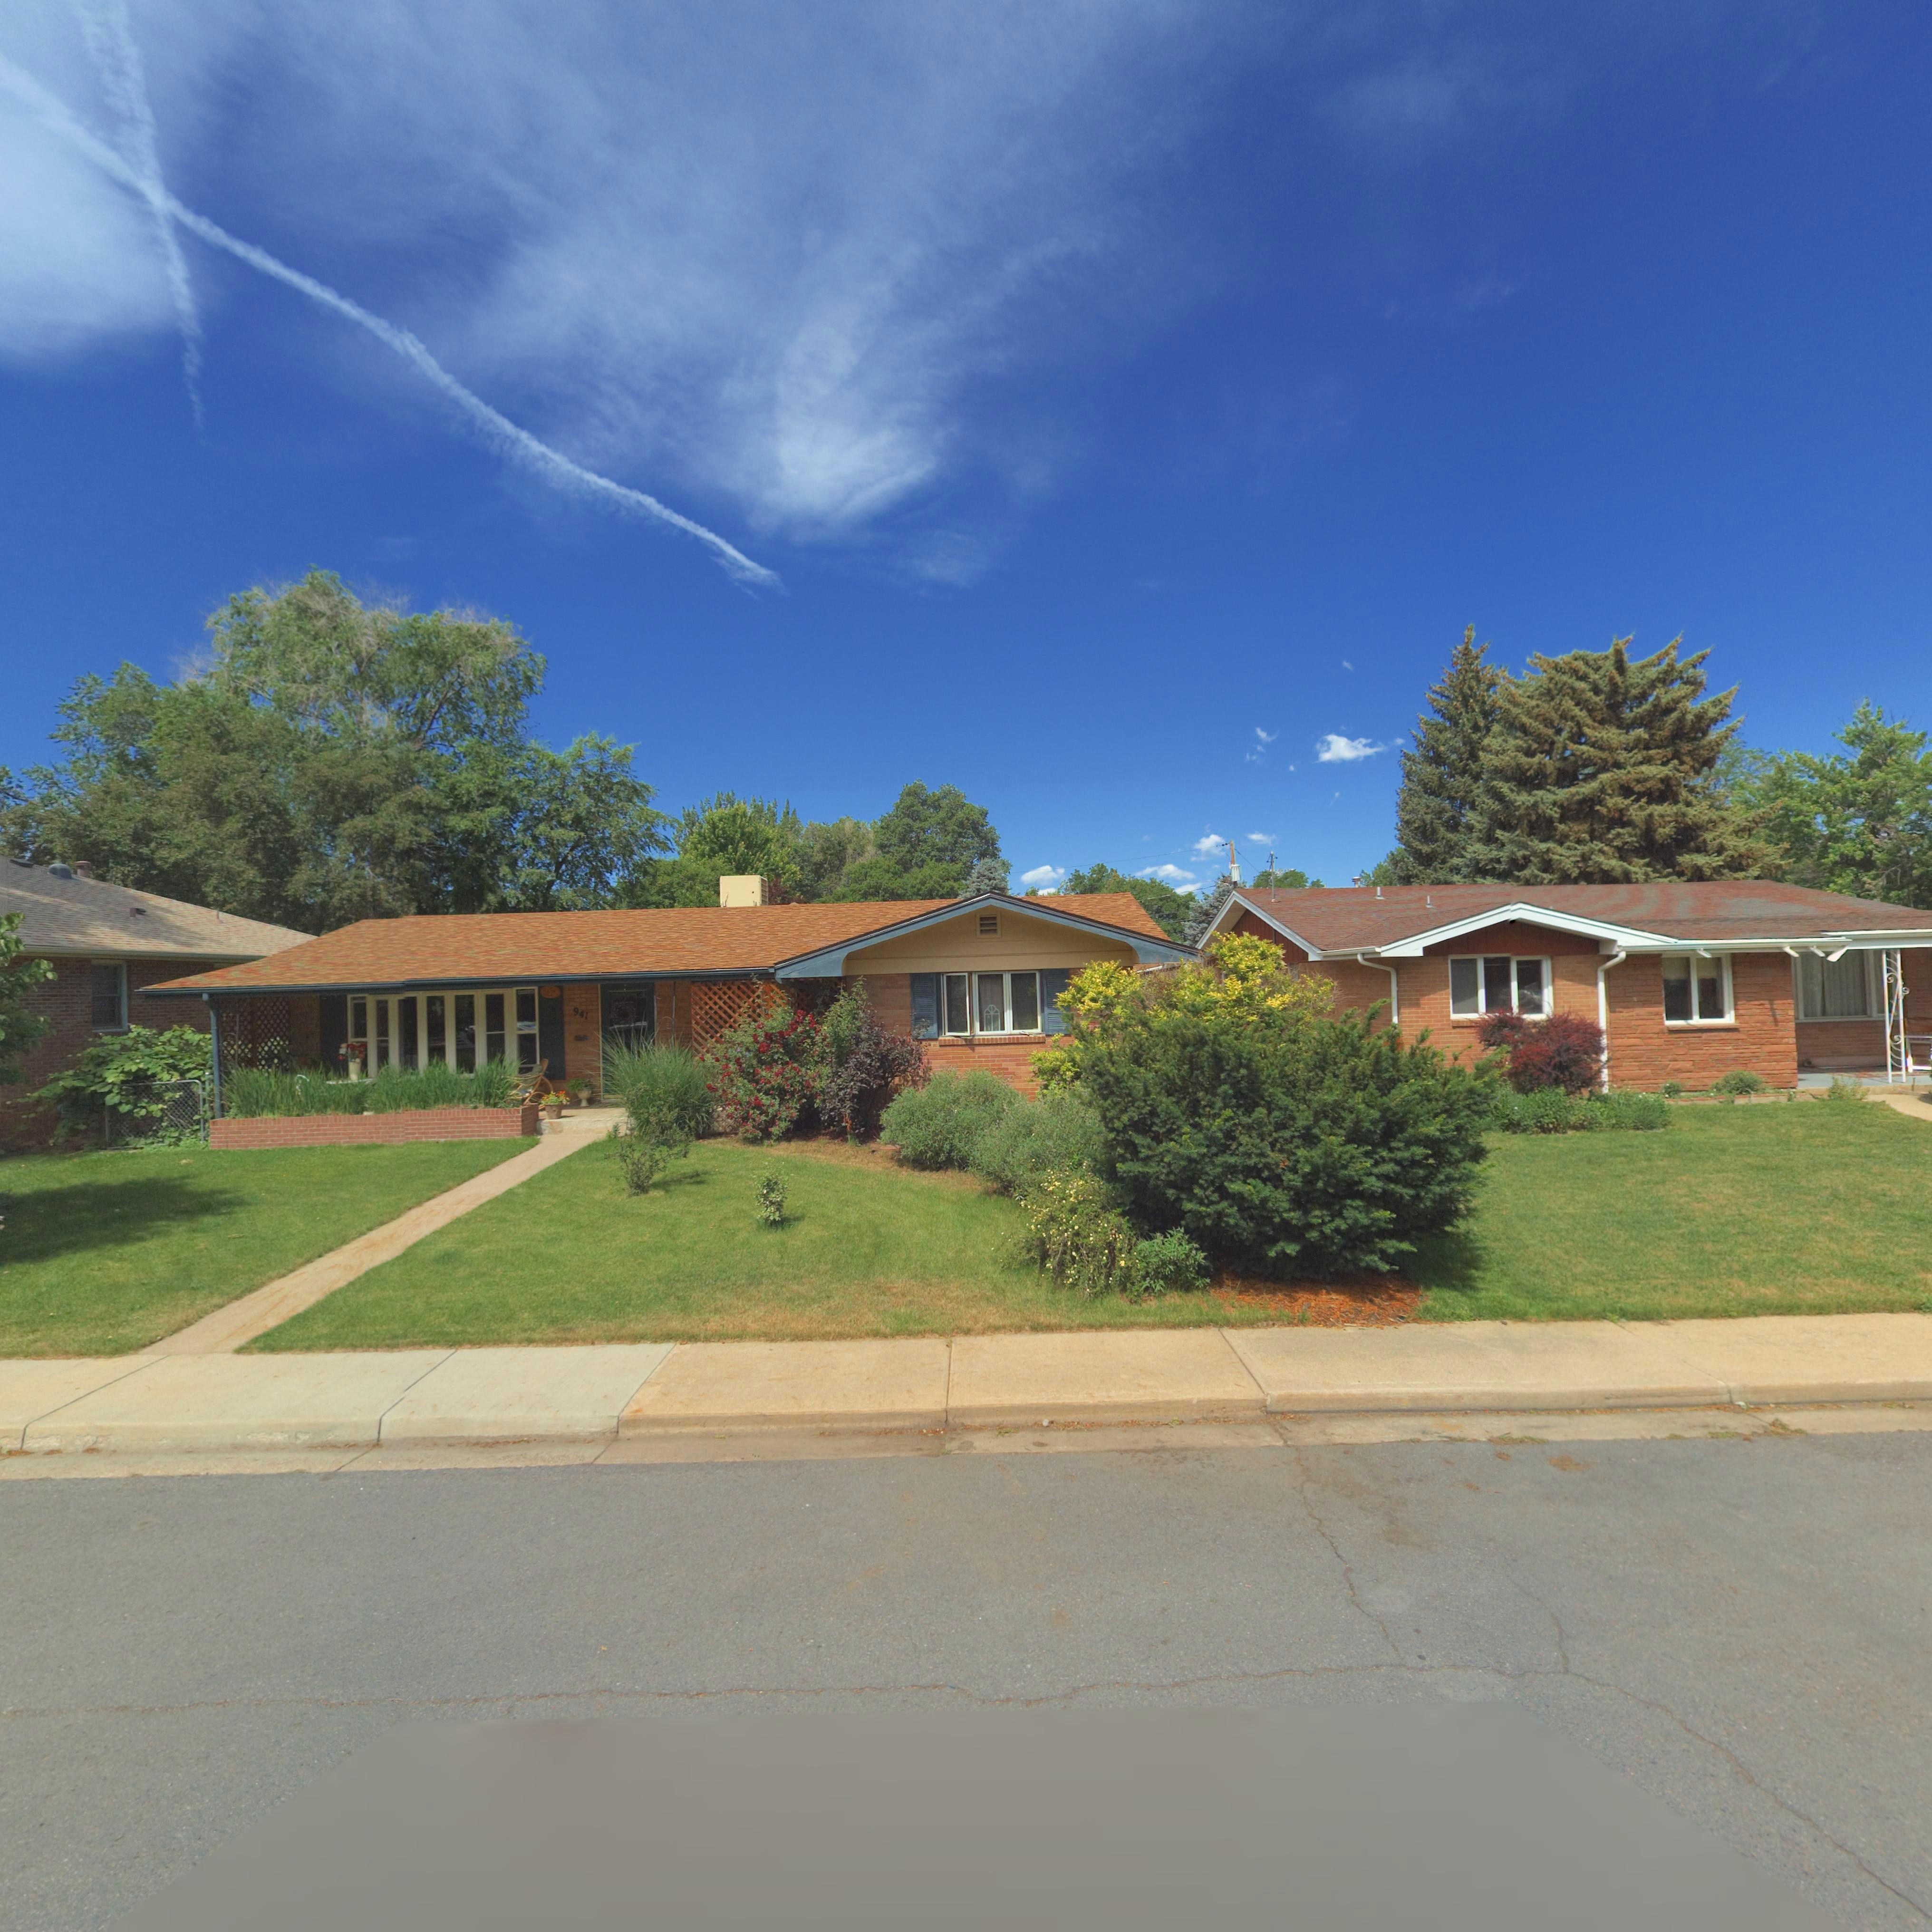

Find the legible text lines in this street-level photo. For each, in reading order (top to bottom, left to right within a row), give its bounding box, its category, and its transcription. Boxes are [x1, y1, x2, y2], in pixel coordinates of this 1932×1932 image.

[572, 1006, 589, 1021] StreetNumber: 941